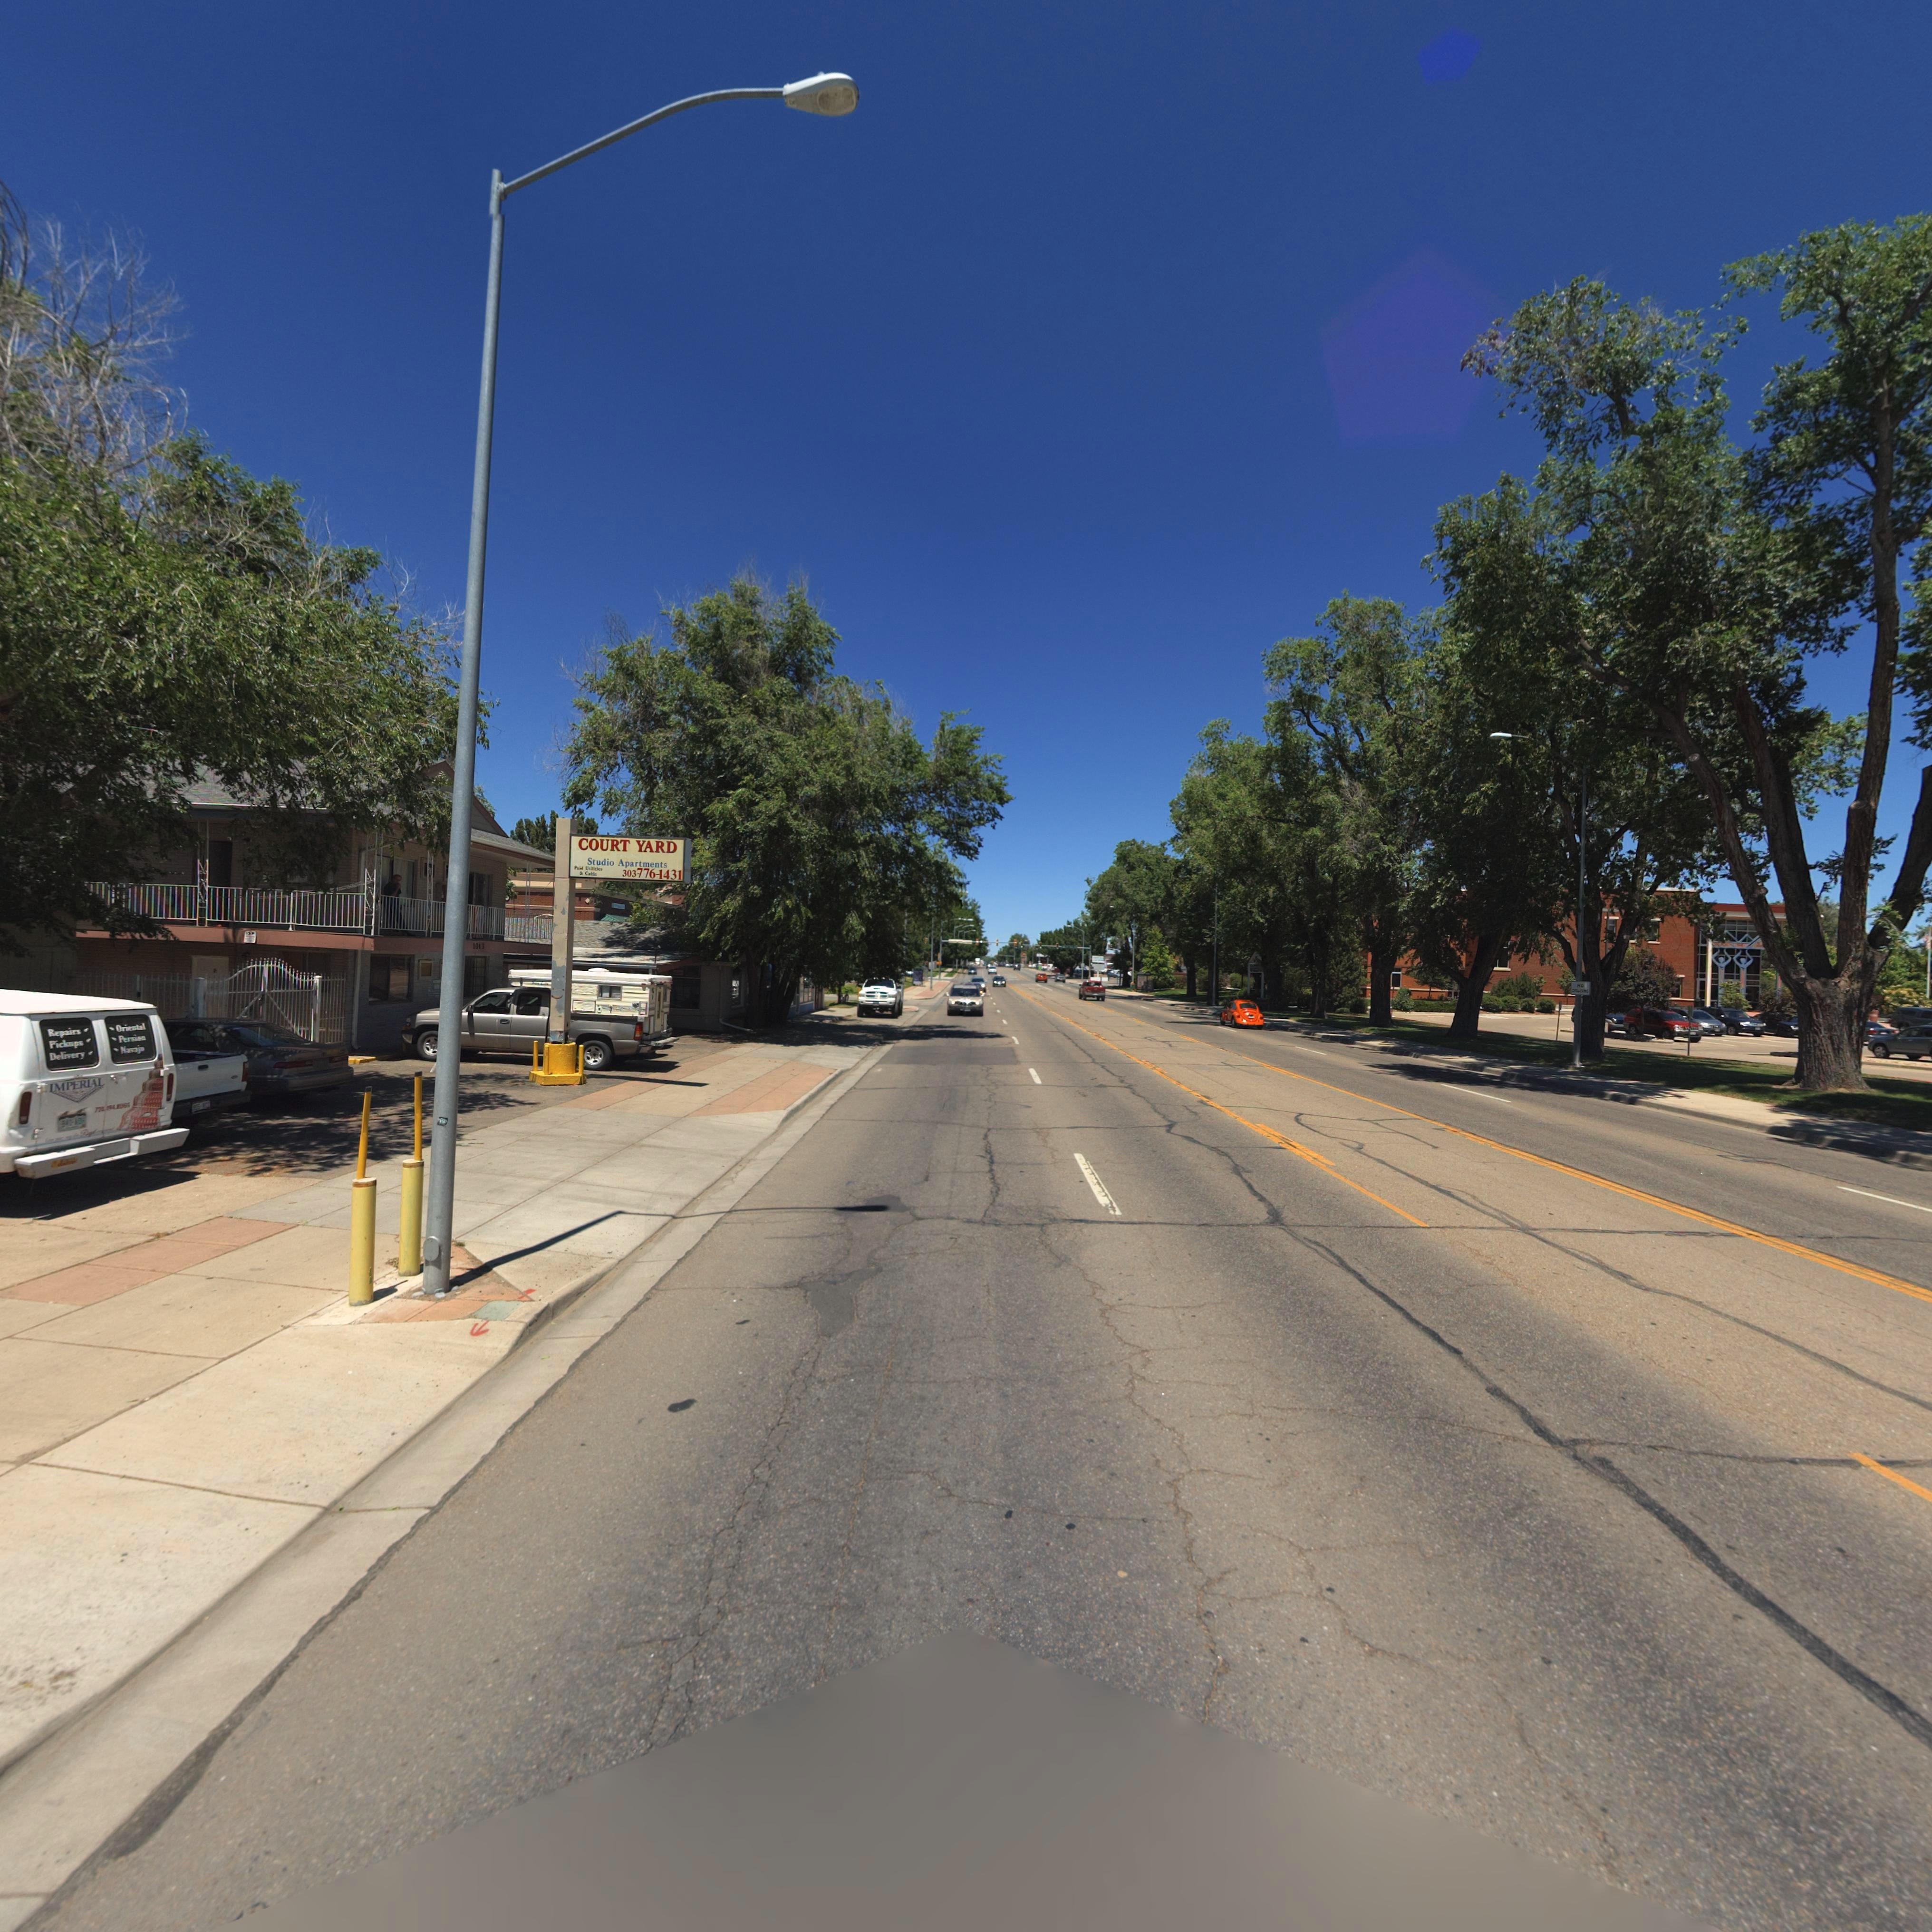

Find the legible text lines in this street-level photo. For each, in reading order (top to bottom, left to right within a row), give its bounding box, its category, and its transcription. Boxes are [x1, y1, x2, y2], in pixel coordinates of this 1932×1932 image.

[578, 837, 678, 854] BusinessName: COURT YARD
[587, 857, 667, 869] BusinessName: Studio Apartments
[472, 942, 485, 949] StreetNumber: 1013